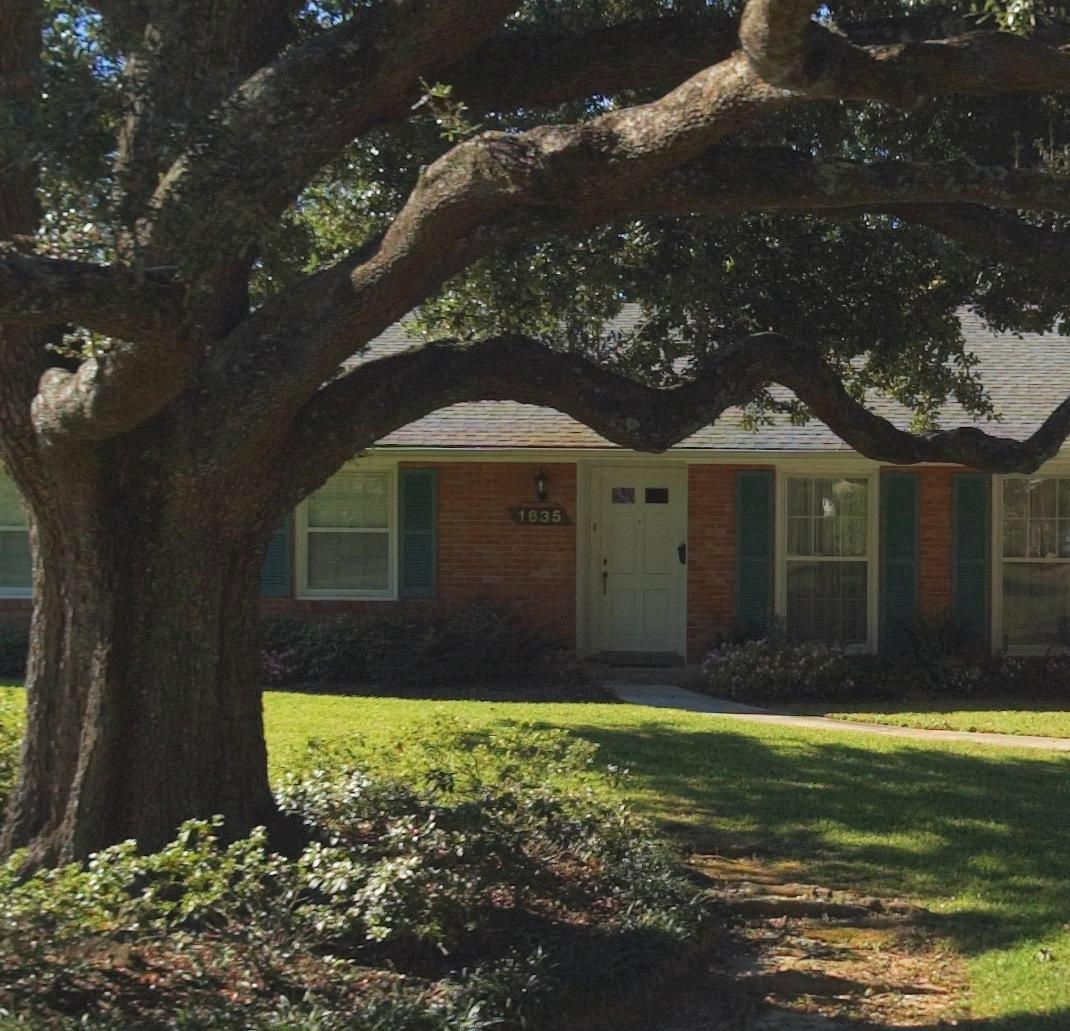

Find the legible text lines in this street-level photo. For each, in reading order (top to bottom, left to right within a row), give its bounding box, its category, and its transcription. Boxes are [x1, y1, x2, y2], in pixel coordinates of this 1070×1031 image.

[517, 507, 563, 525] StreetNumber: 1635